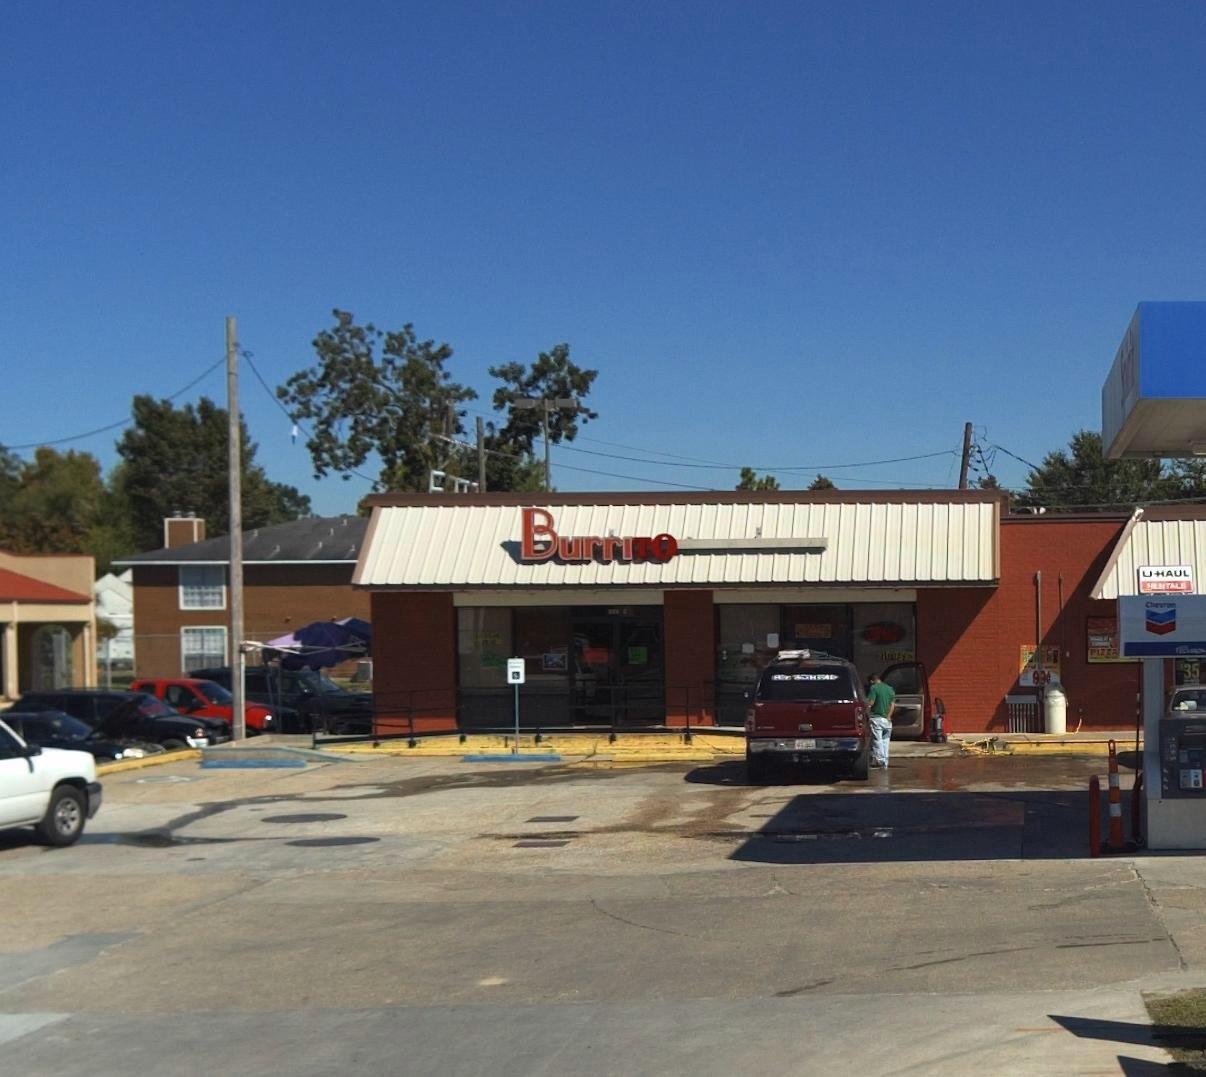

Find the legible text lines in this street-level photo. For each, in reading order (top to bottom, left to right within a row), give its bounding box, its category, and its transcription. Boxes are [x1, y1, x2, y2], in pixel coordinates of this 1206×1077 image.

[519, 507, 679, 562] BusinessName: BurrITO
[1141, 569, 1191, 578] None: UHAUL
[1145, 581, 1189, 590] None: **NTAL*
[1145, 600, 1177, 609] BusinessName: Ch**ron
[1089, 648, 1119, 656] None: PIZZA
[1173, 646, 1202, 654] None: TECHRO
[1183, 662, 1200, 679] None: 35
[1031, 669, 1048, 686] None: 9*